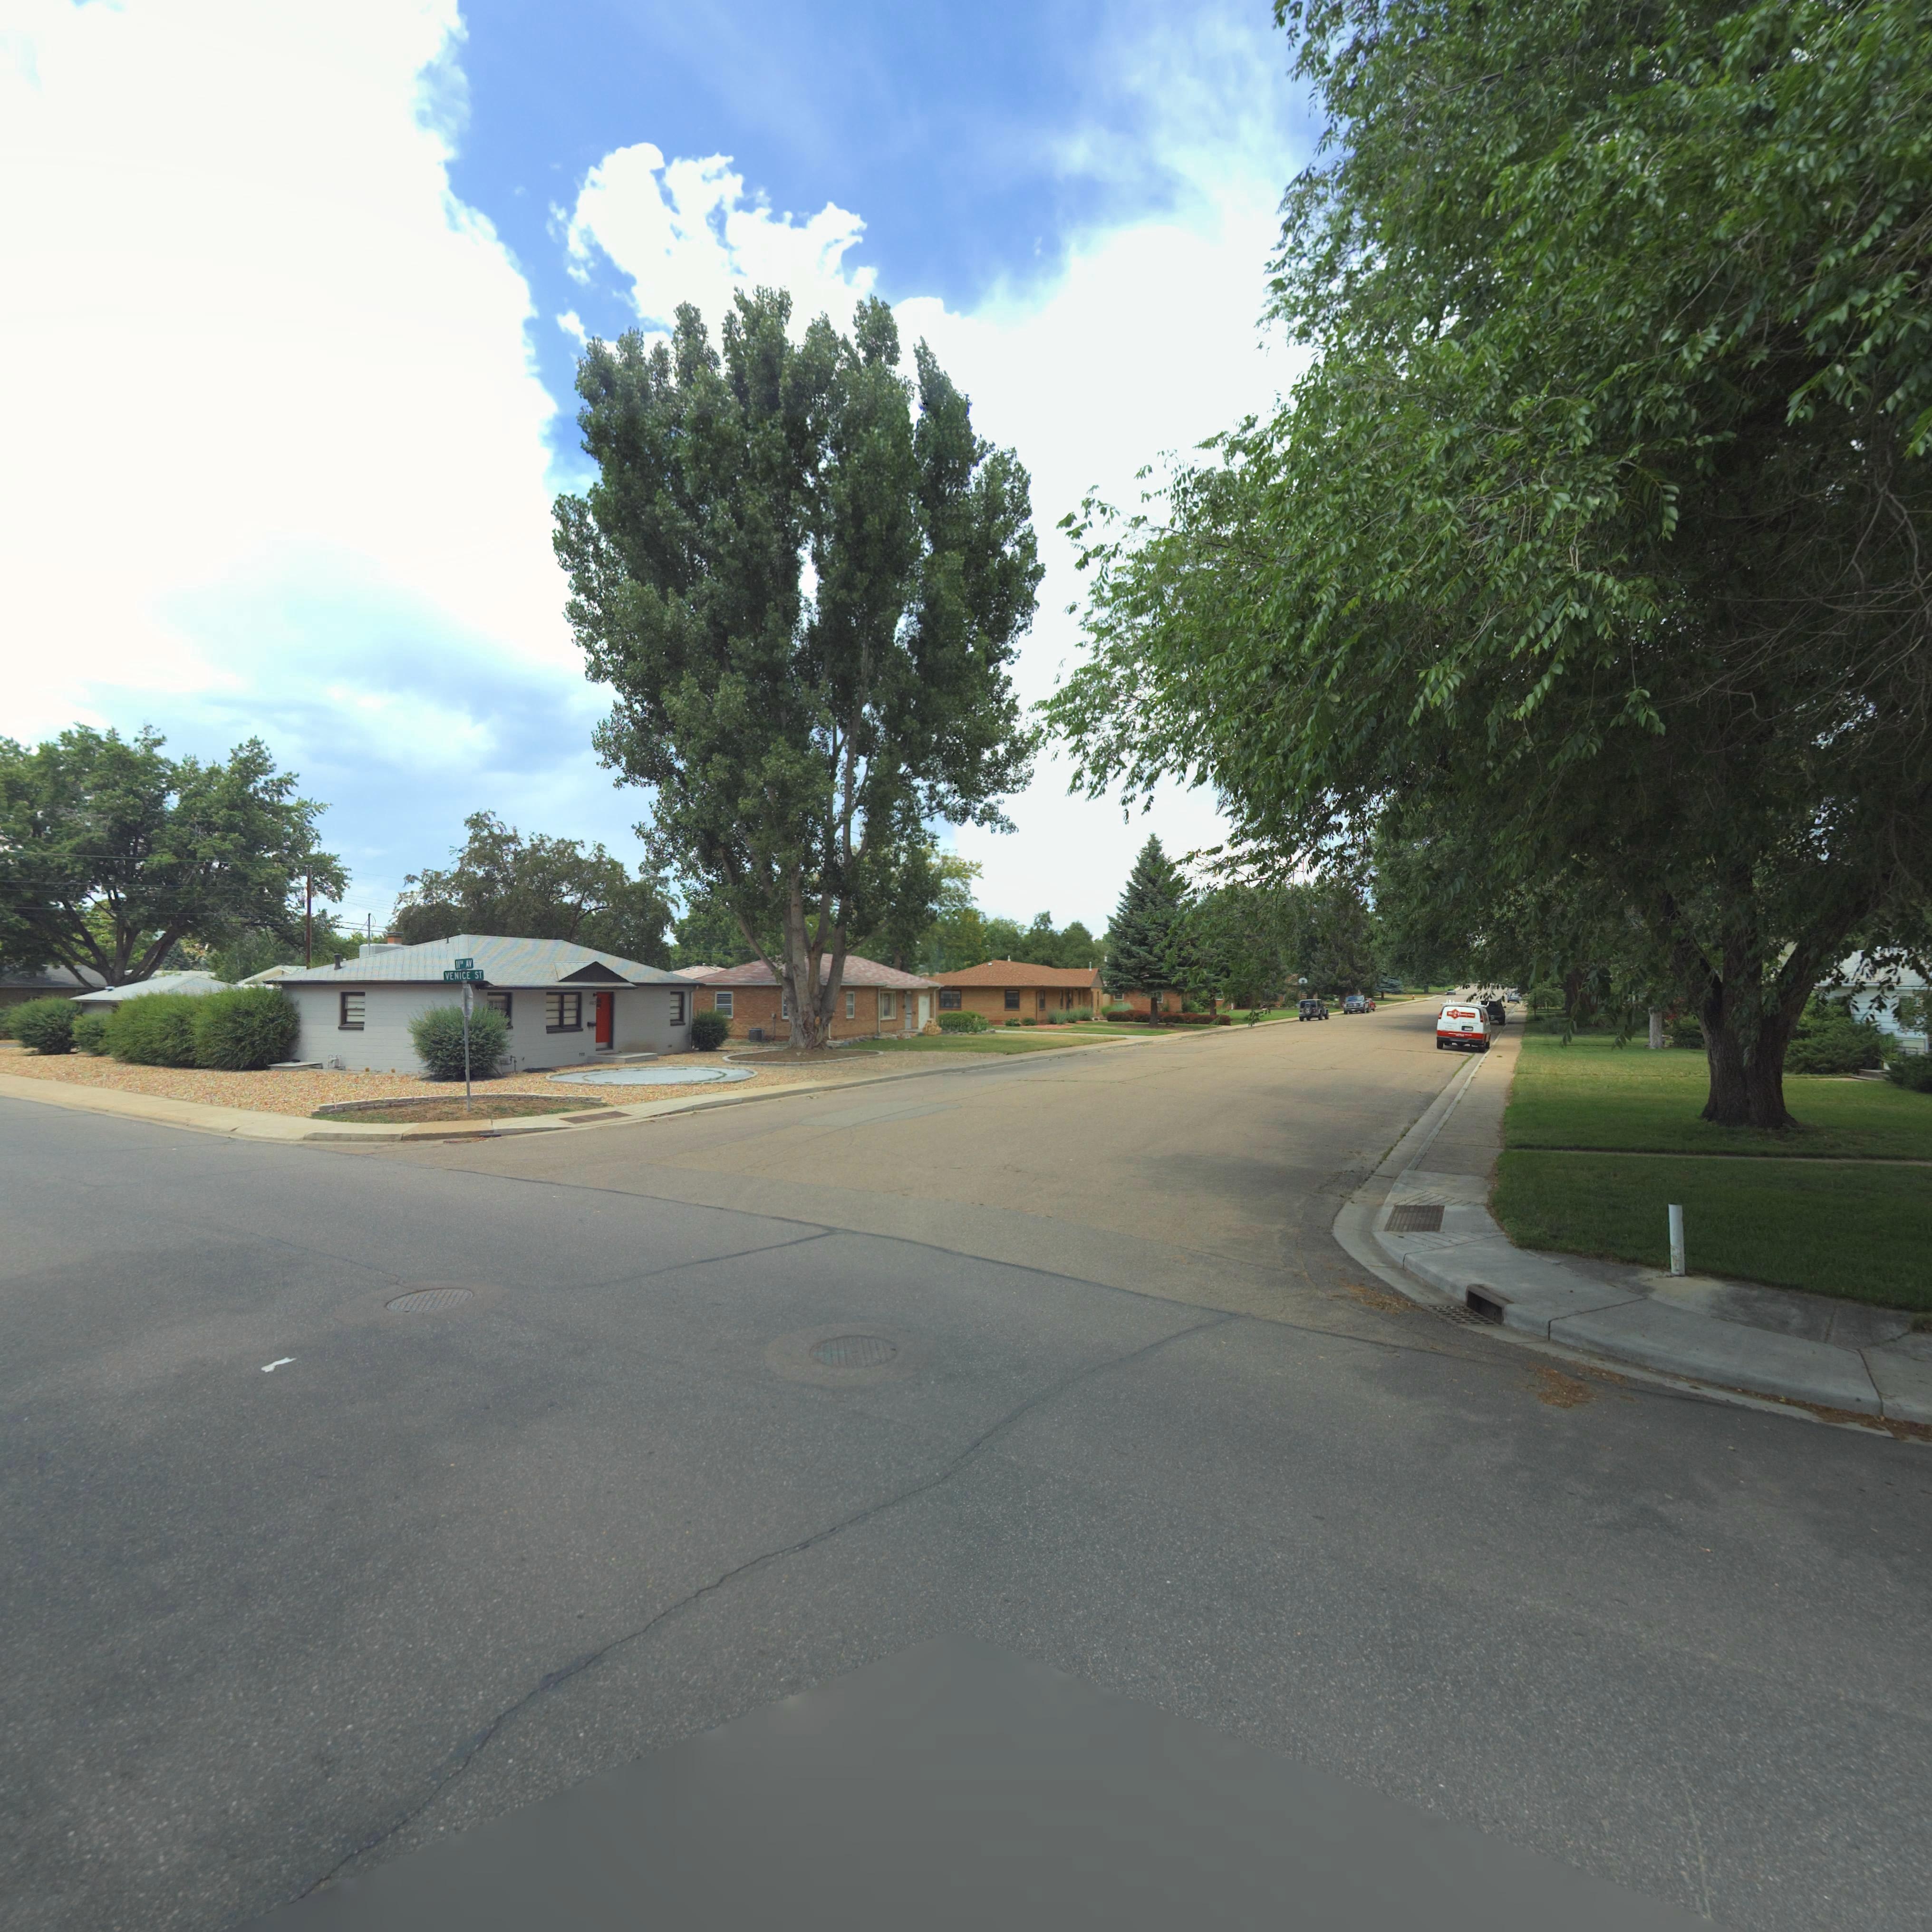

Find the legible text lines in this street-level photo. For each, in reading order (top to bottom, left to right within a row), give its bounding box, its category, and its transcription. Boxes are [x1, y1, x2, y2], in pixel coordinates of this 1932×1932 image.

[456, 959, 472, 969] StreetName: 11TH AV
[444, 971, 483, 980] StreetName: VENICE ST